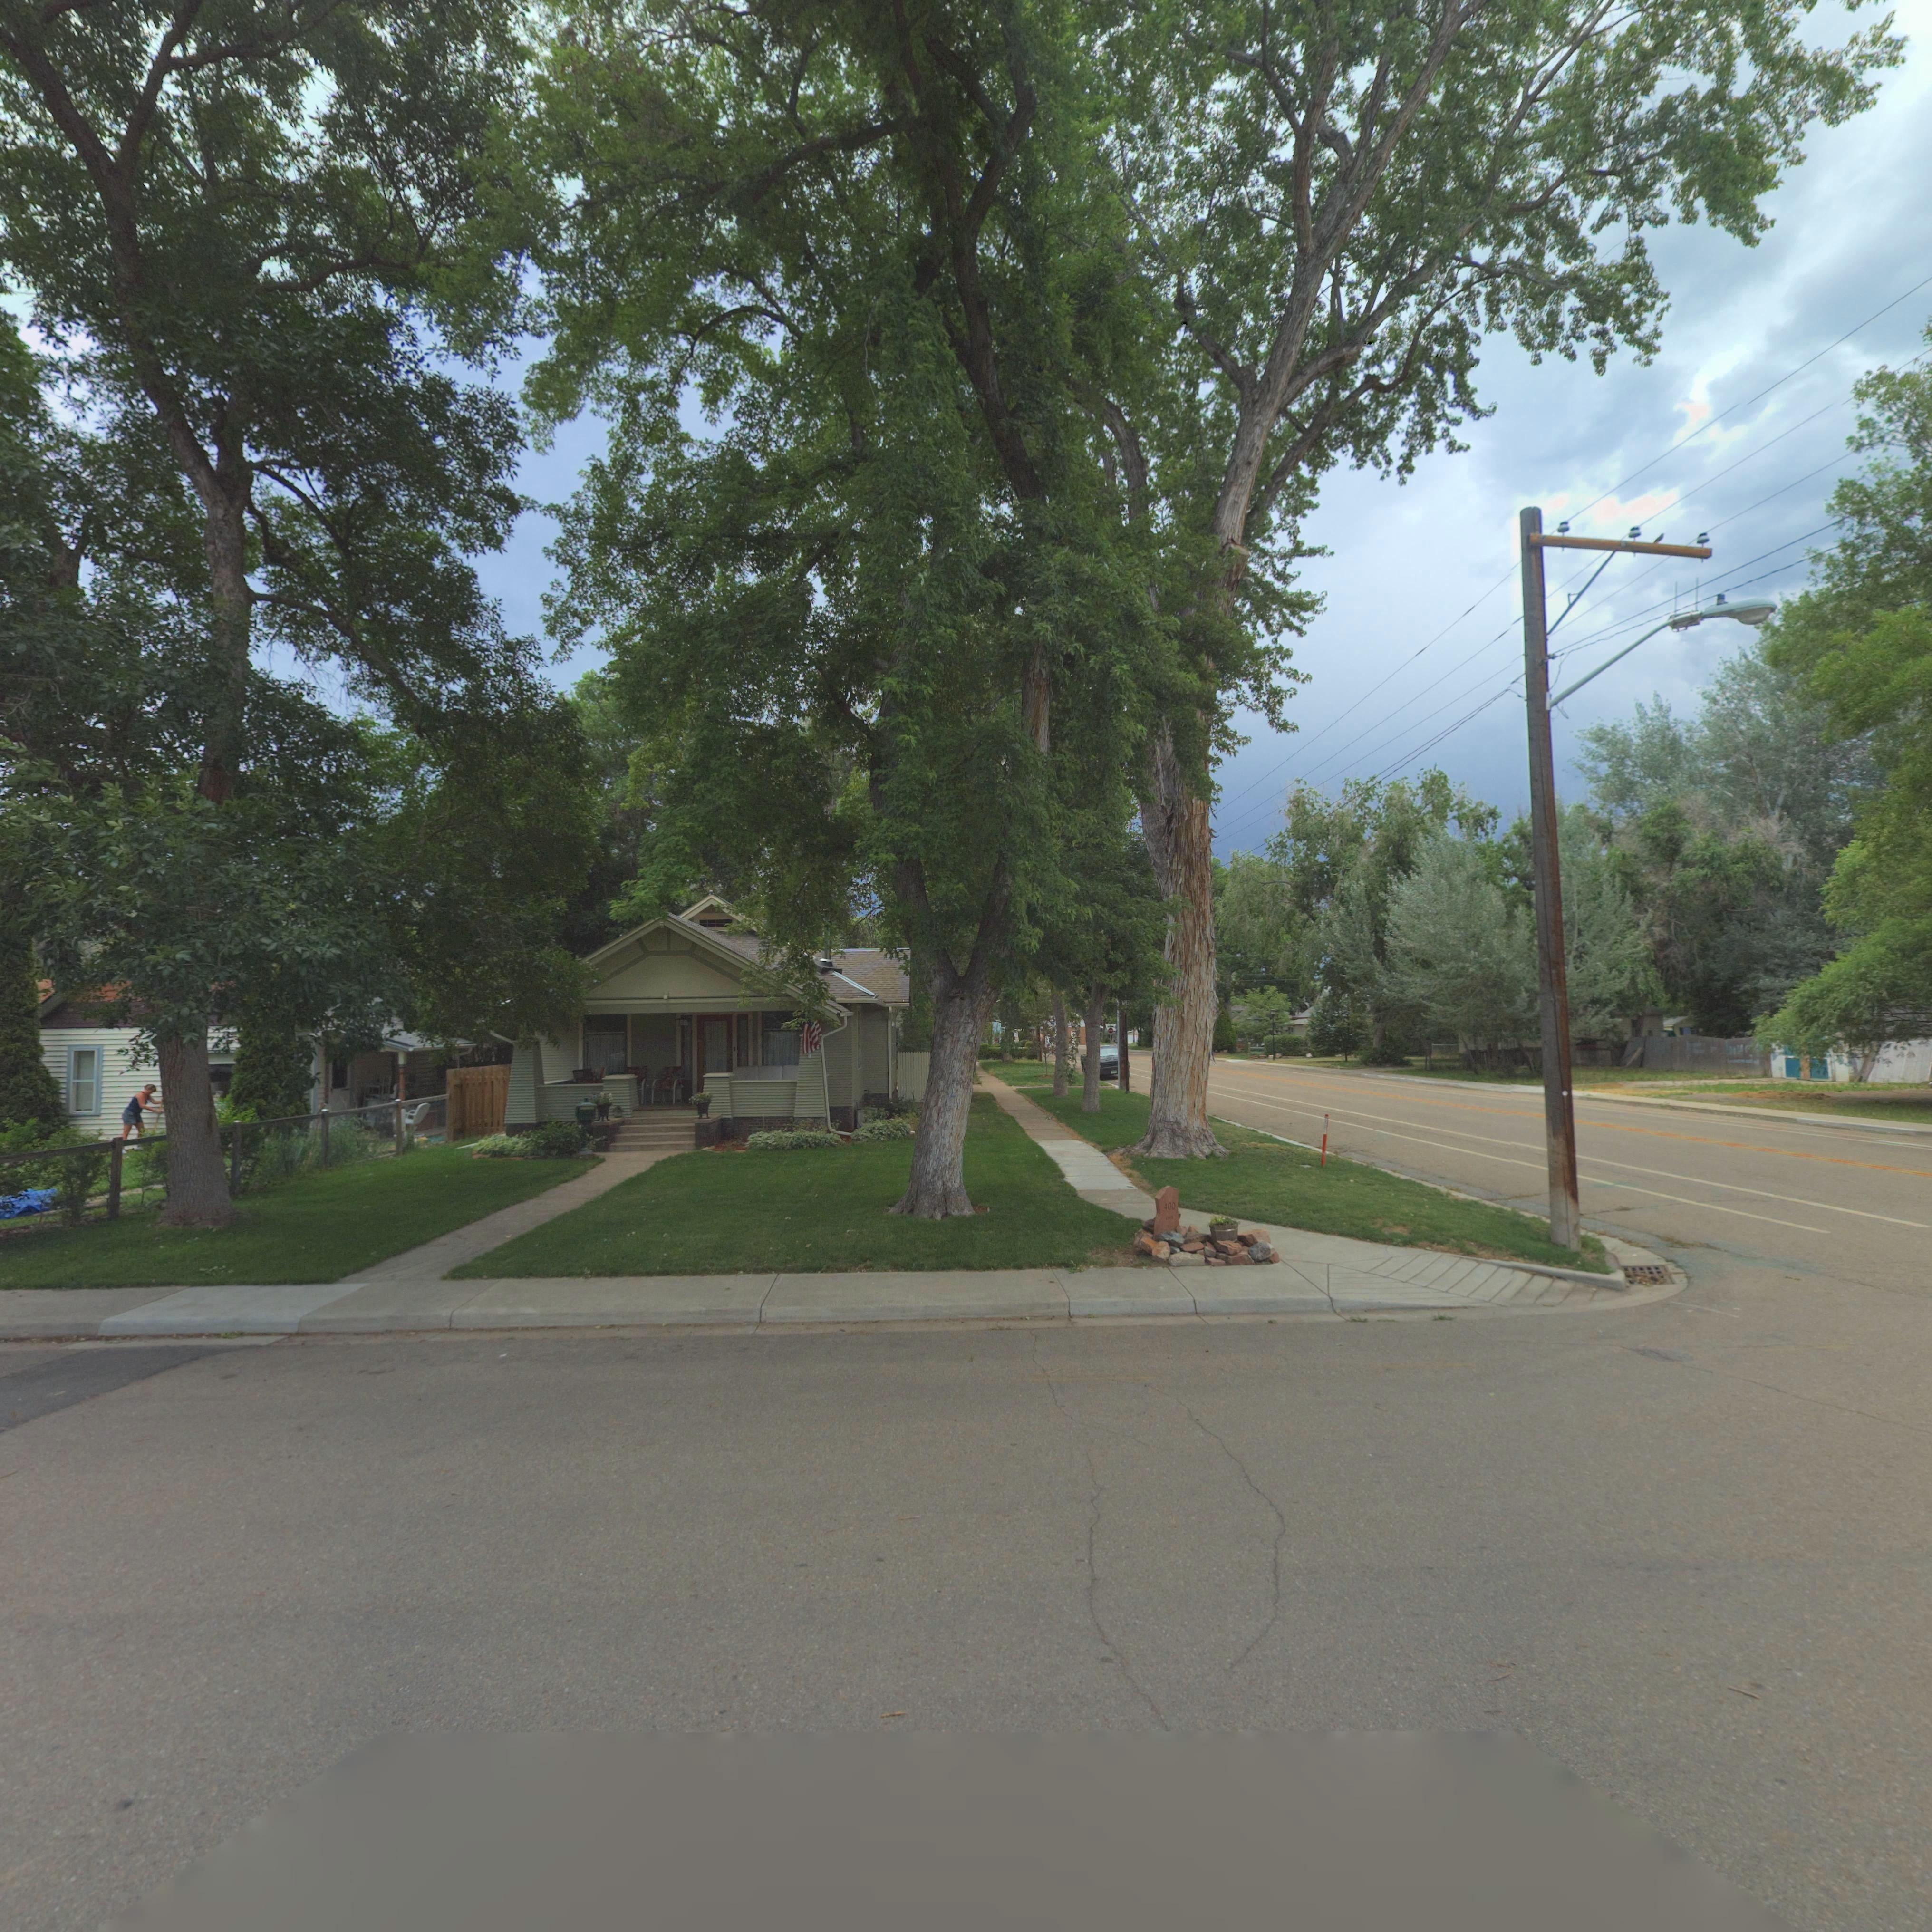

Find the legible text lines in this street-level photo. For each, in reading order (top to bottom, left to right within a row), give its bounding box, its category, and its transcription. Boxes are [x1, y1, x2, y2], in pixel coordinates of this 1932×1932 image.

[1163, 1201, 1175, 1210] StreetNumber: 400